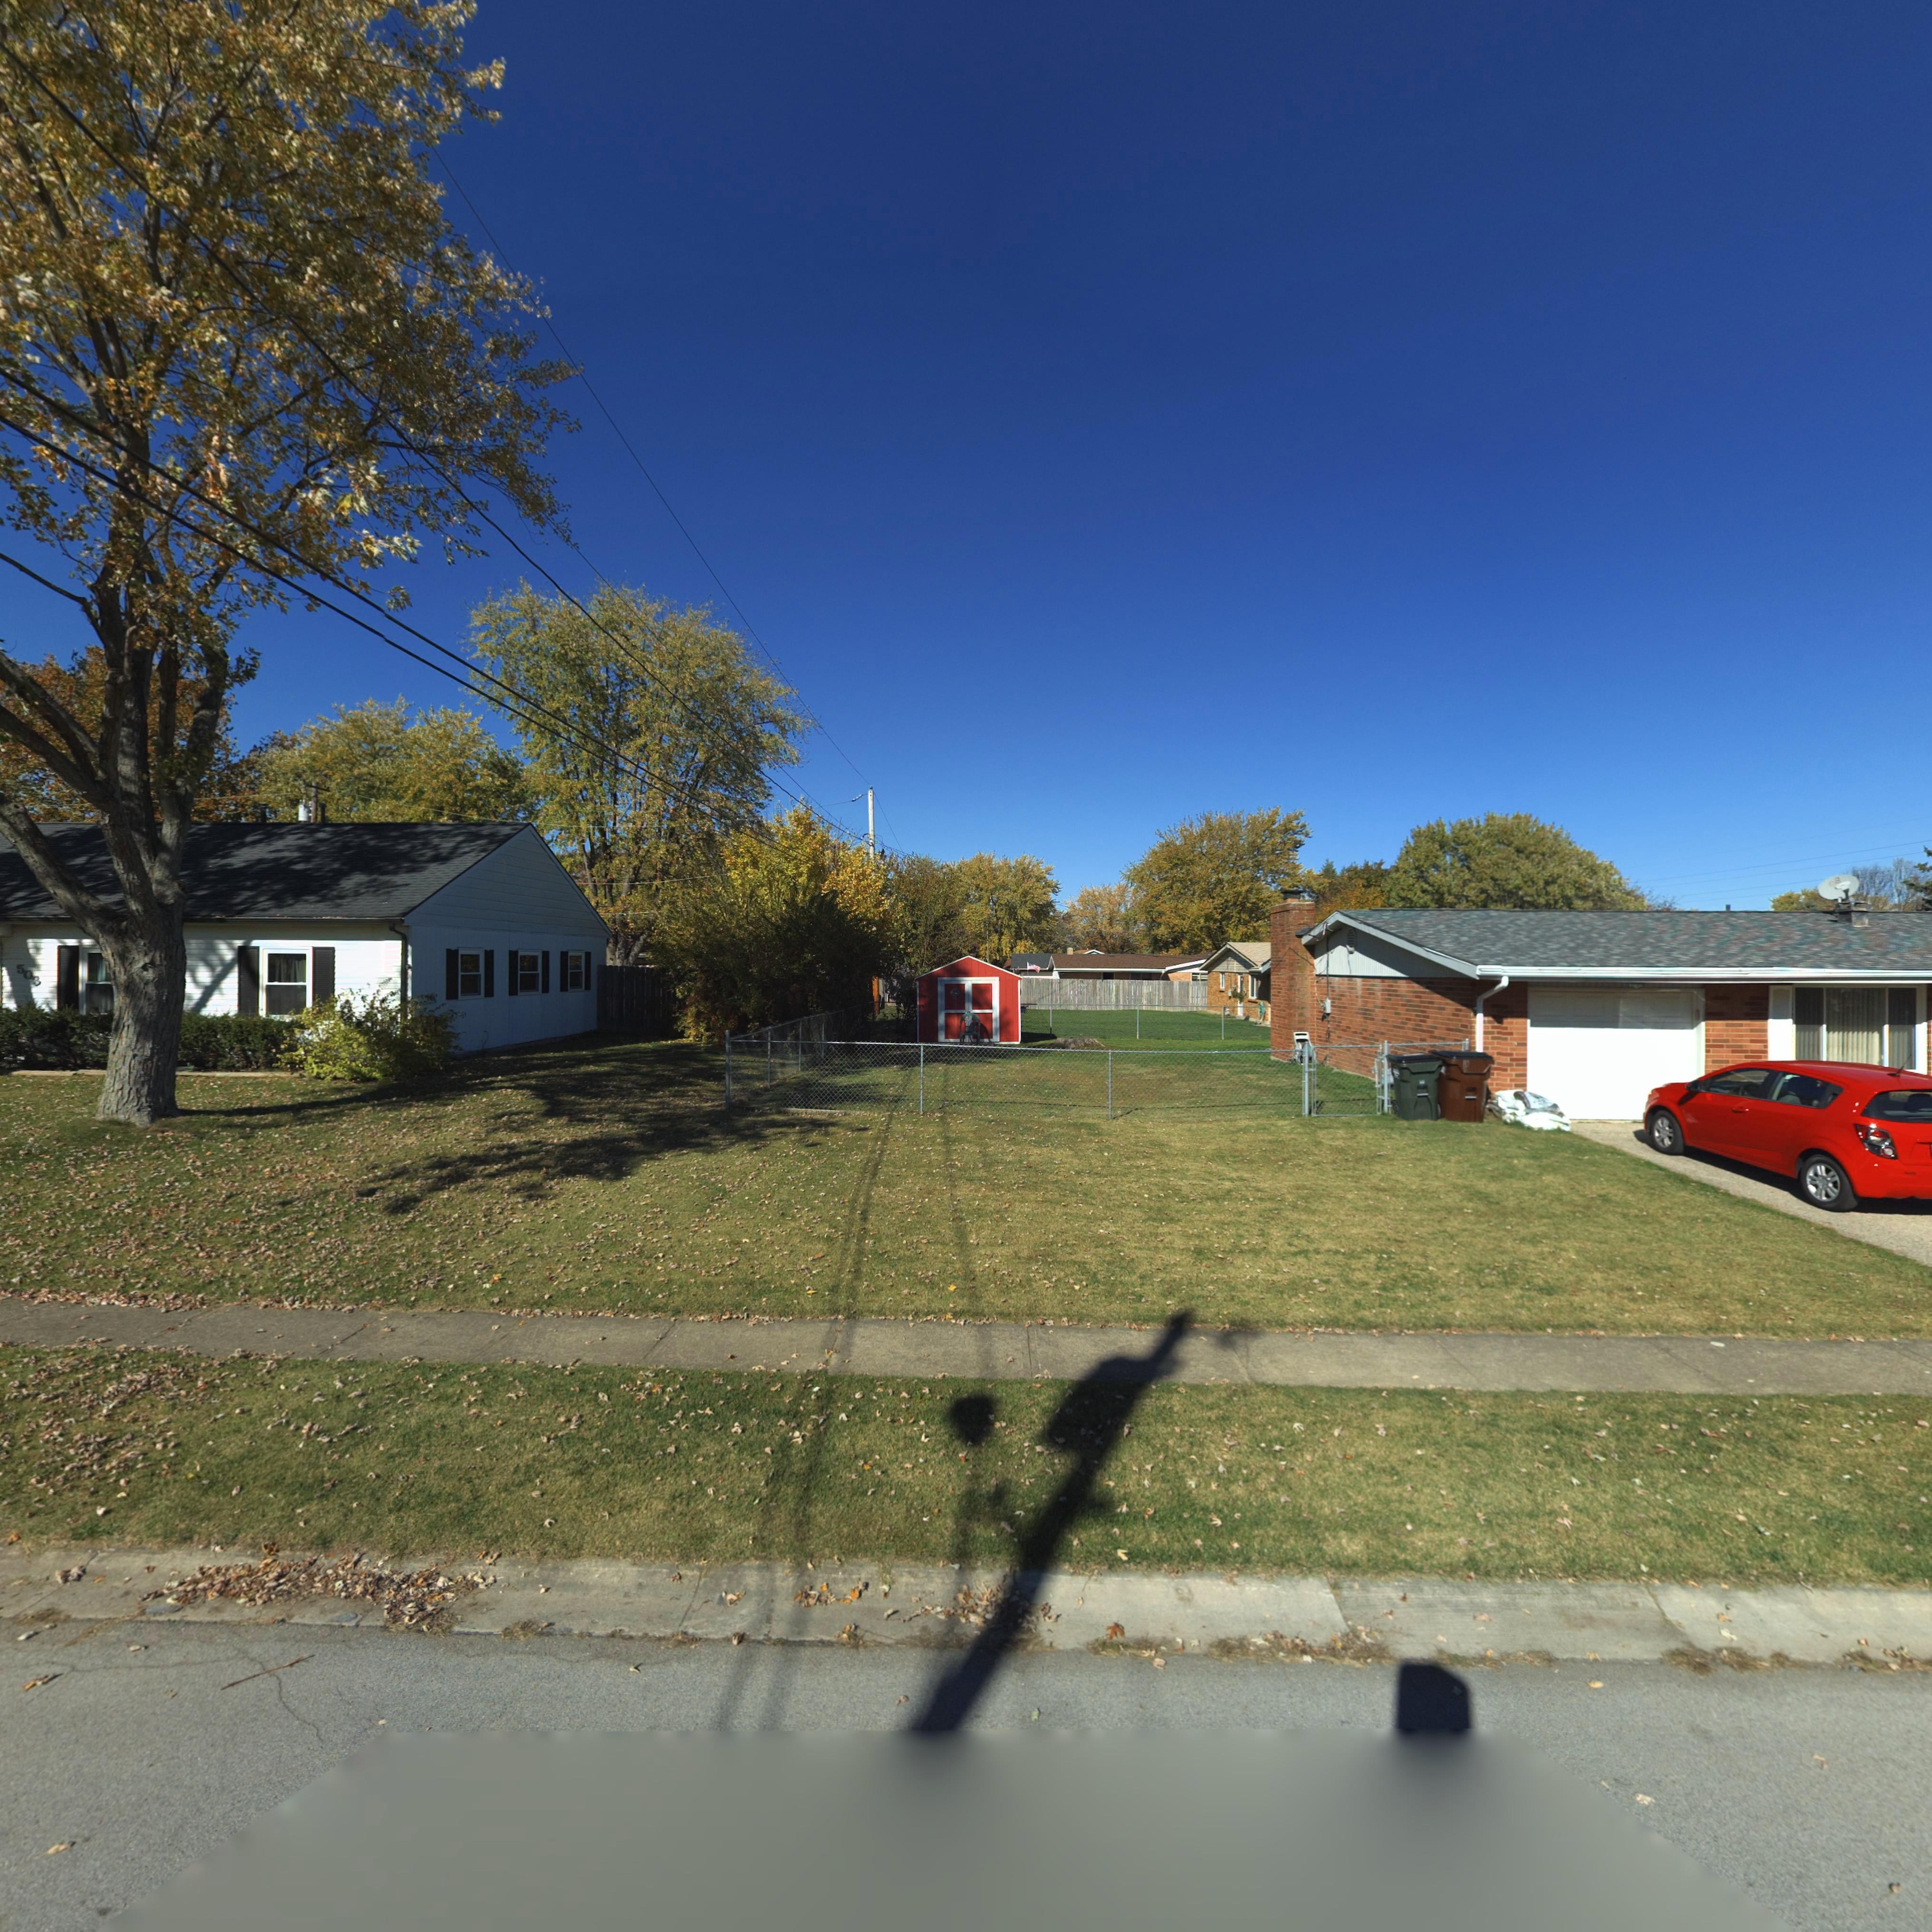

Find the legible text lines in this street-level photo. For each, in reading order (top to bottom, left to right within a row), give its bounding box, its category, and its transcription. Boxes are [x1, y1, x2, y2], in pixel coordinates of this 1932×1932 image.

[16, 964, 42, 987] StreetNumber: 503